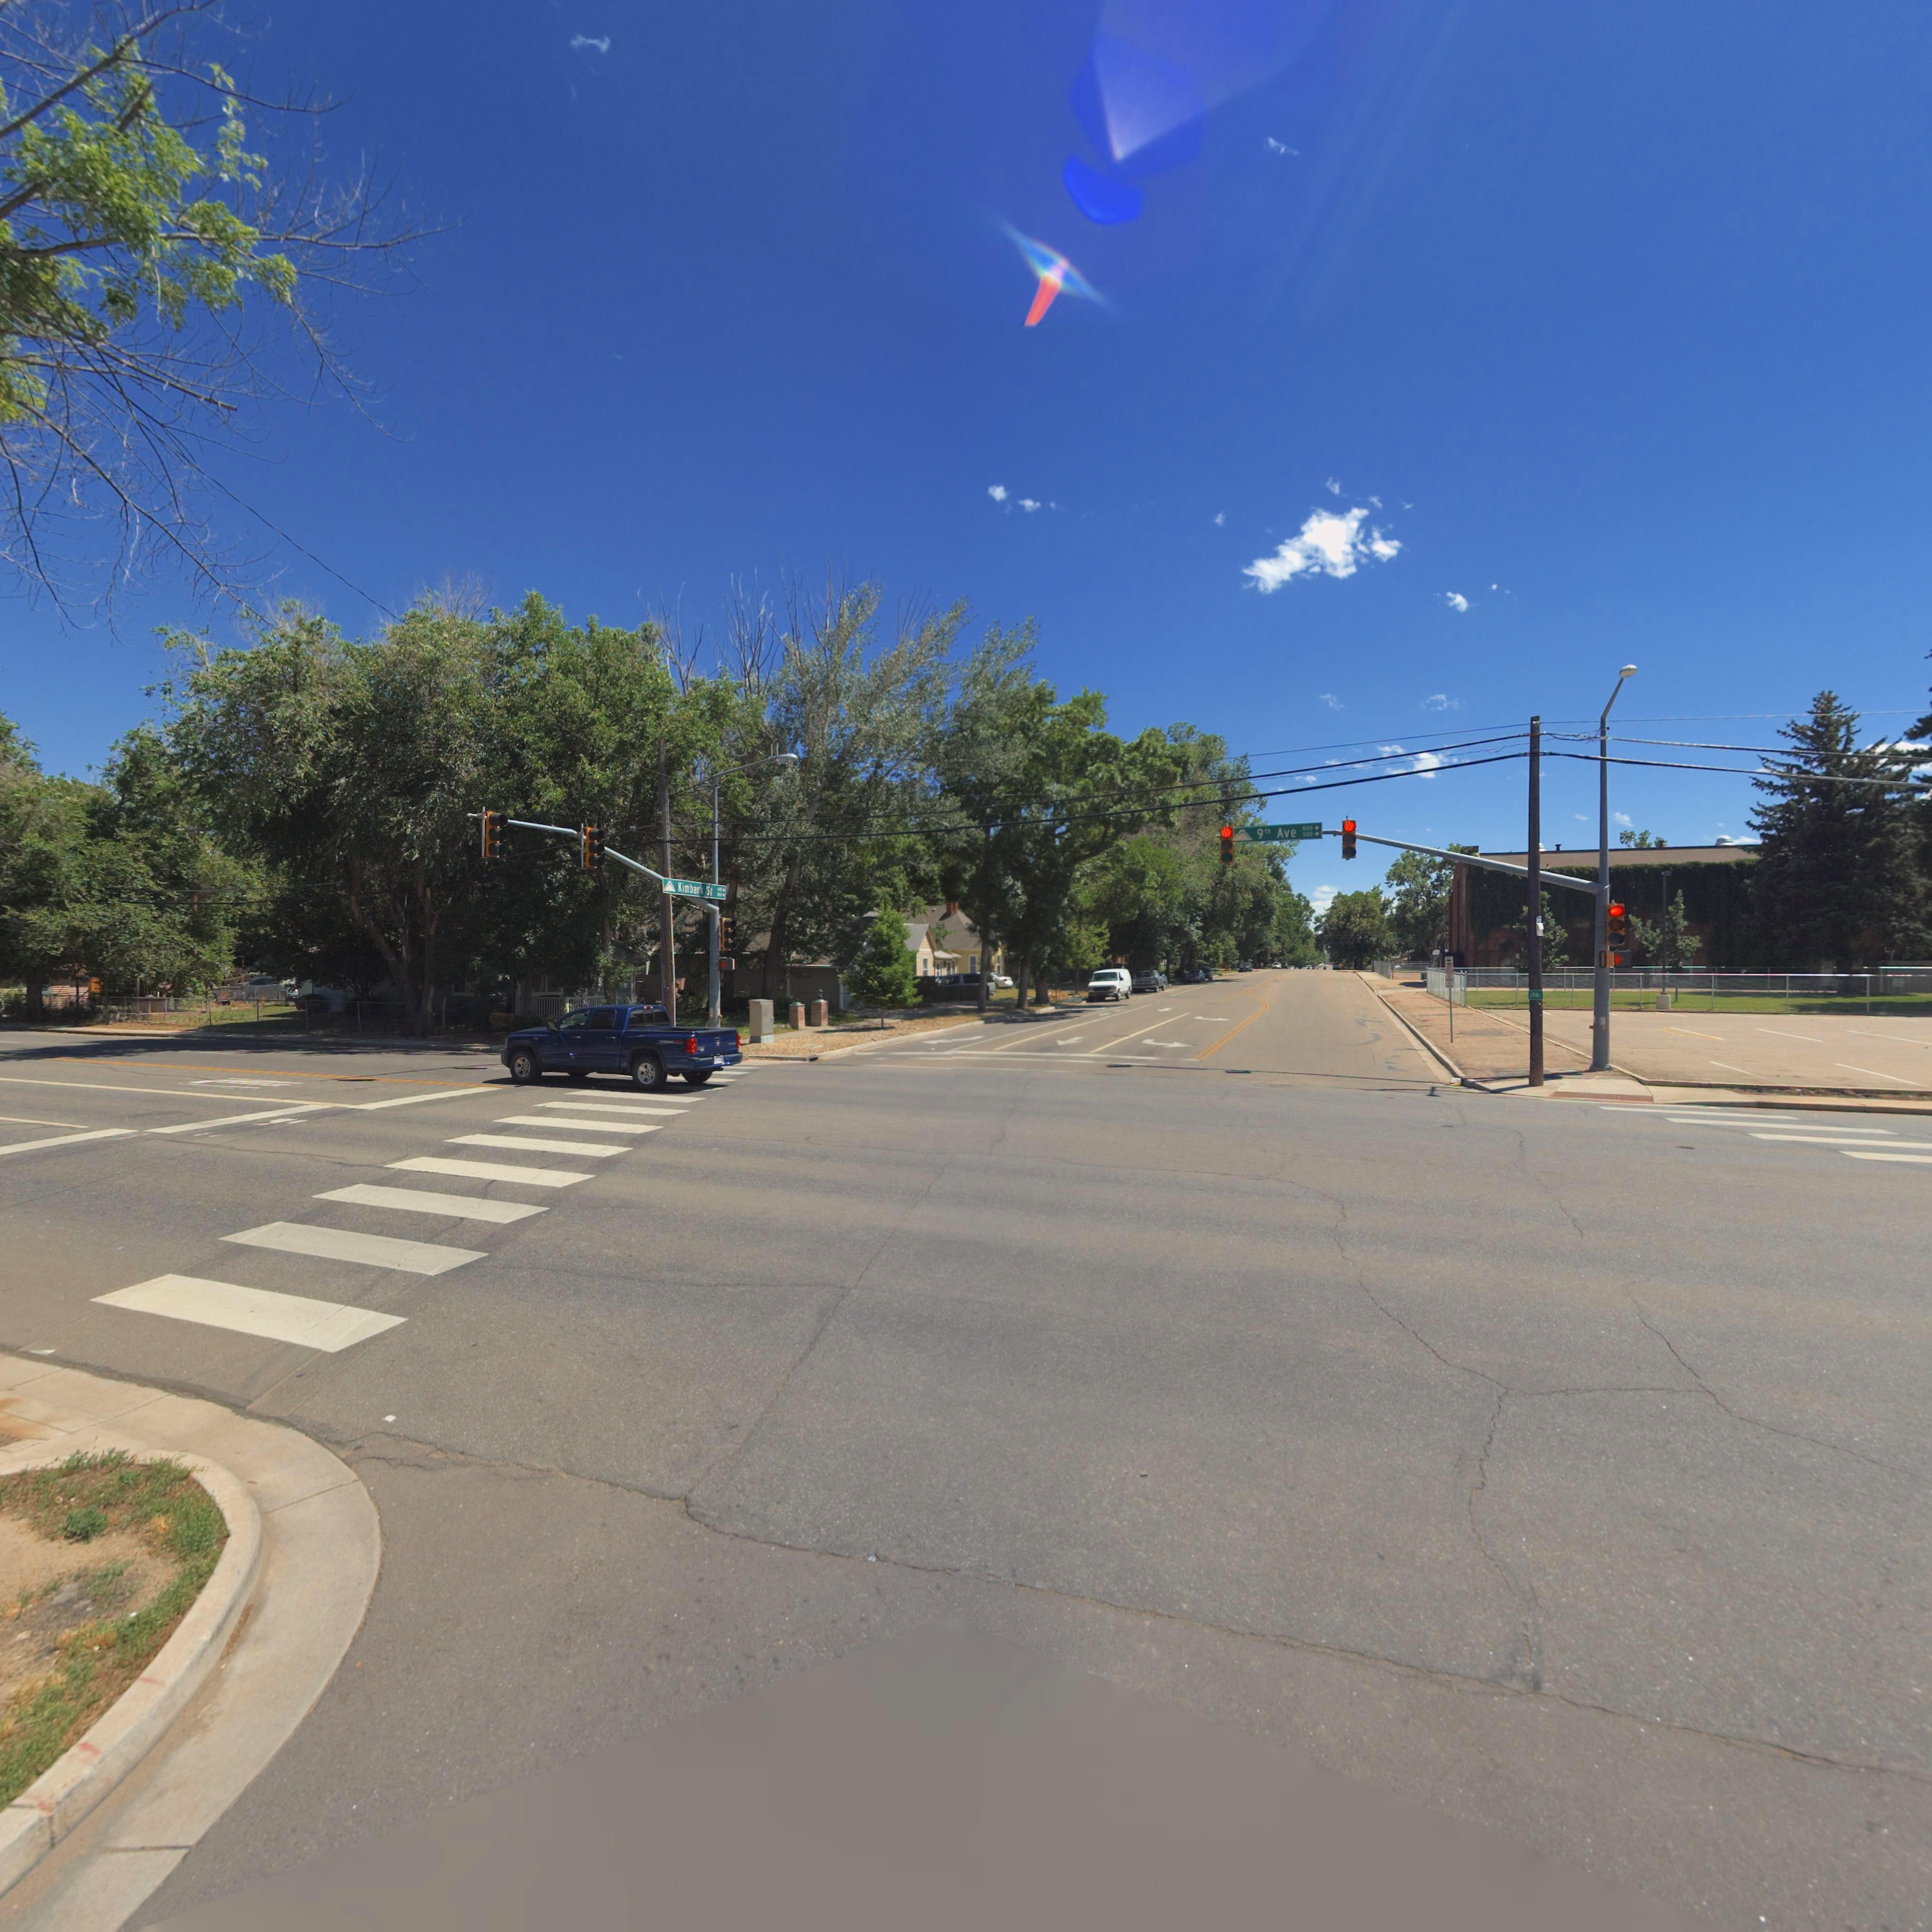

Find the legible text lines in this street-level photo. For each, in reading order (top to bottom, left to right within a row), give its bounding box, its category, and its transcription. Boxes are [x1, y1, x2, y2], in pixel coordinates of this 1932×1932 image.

[1256, 826, 1296, 840] StreetName: 9th Ave
[1302, 825, 1313, 831] StreetNumberRange: 800
[1302, 831, 1320, 837] StreetNumberRange: 500->
[677, 881, 713, 896] StreetName: Kimbark St